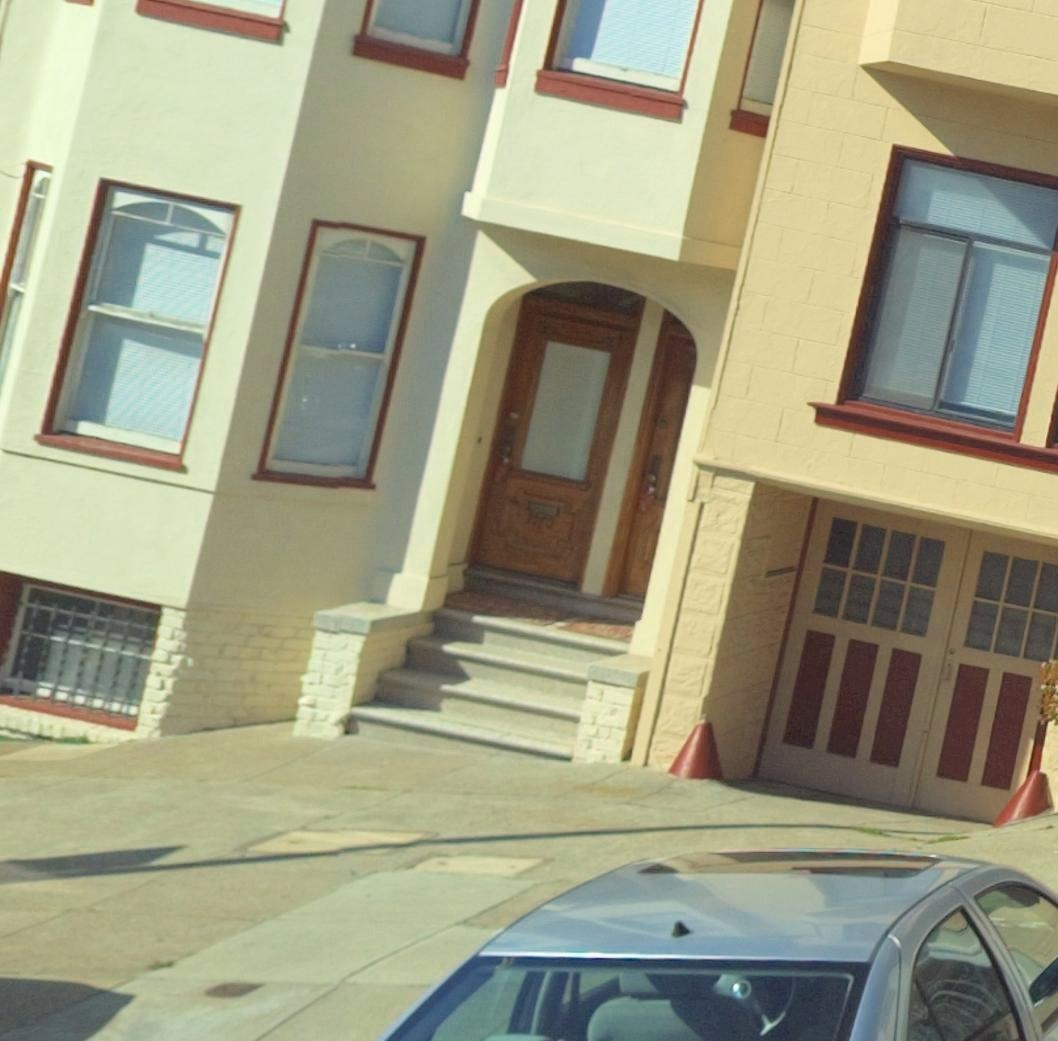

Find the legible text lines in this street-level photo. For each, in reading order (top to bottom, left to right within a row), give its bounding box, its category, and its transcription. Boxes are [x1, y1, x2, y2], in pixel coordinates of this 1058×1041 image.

[525, 512, 557, 531] StreetNumber: 1170